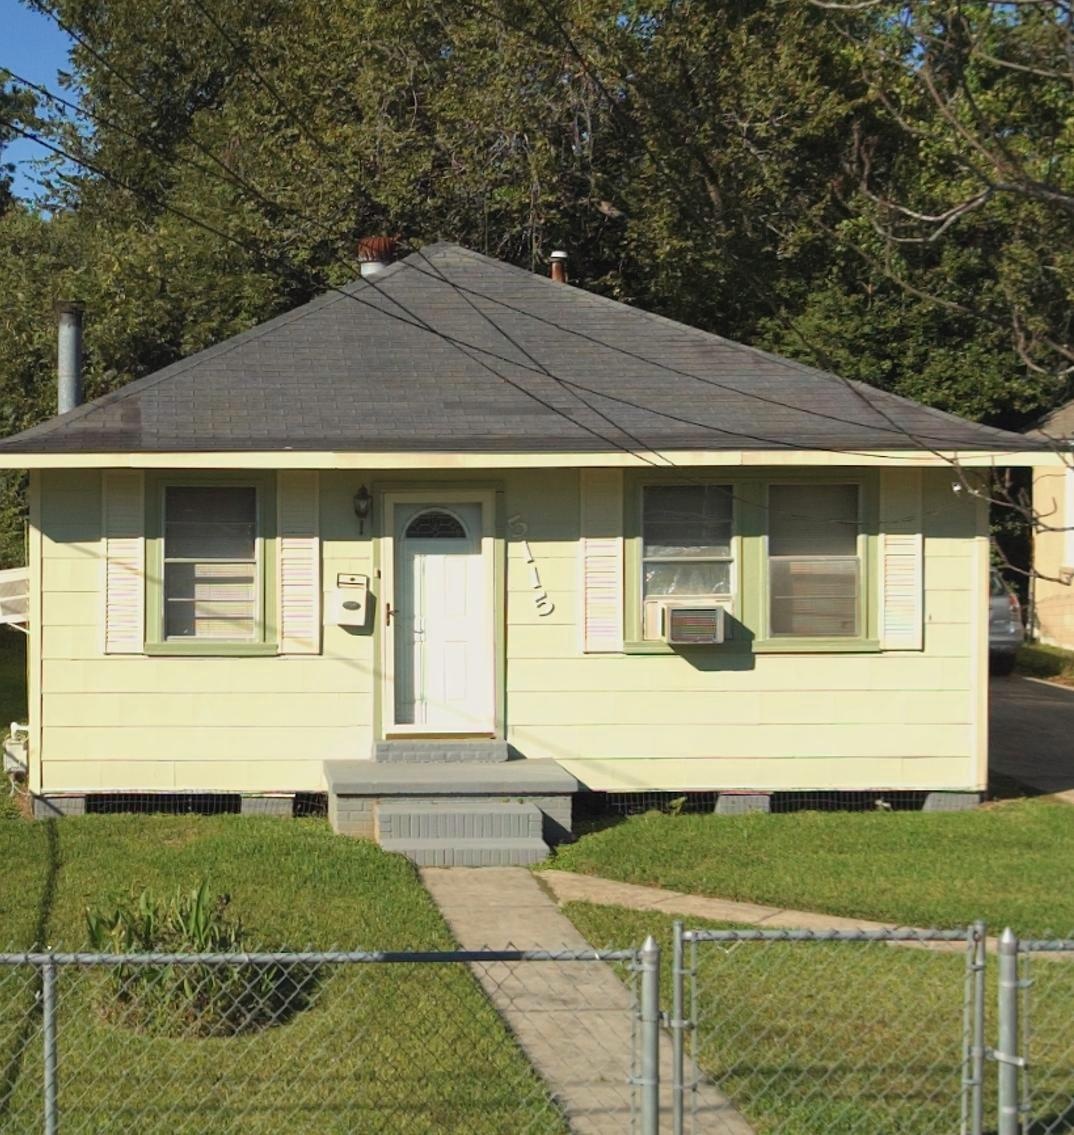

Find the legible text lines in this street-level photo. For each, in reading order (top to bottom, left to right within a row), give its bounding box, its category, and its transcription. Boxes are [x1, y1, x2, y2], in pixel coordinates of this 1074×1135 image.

[504, 511, 558, 619] StreetNumber: 5115